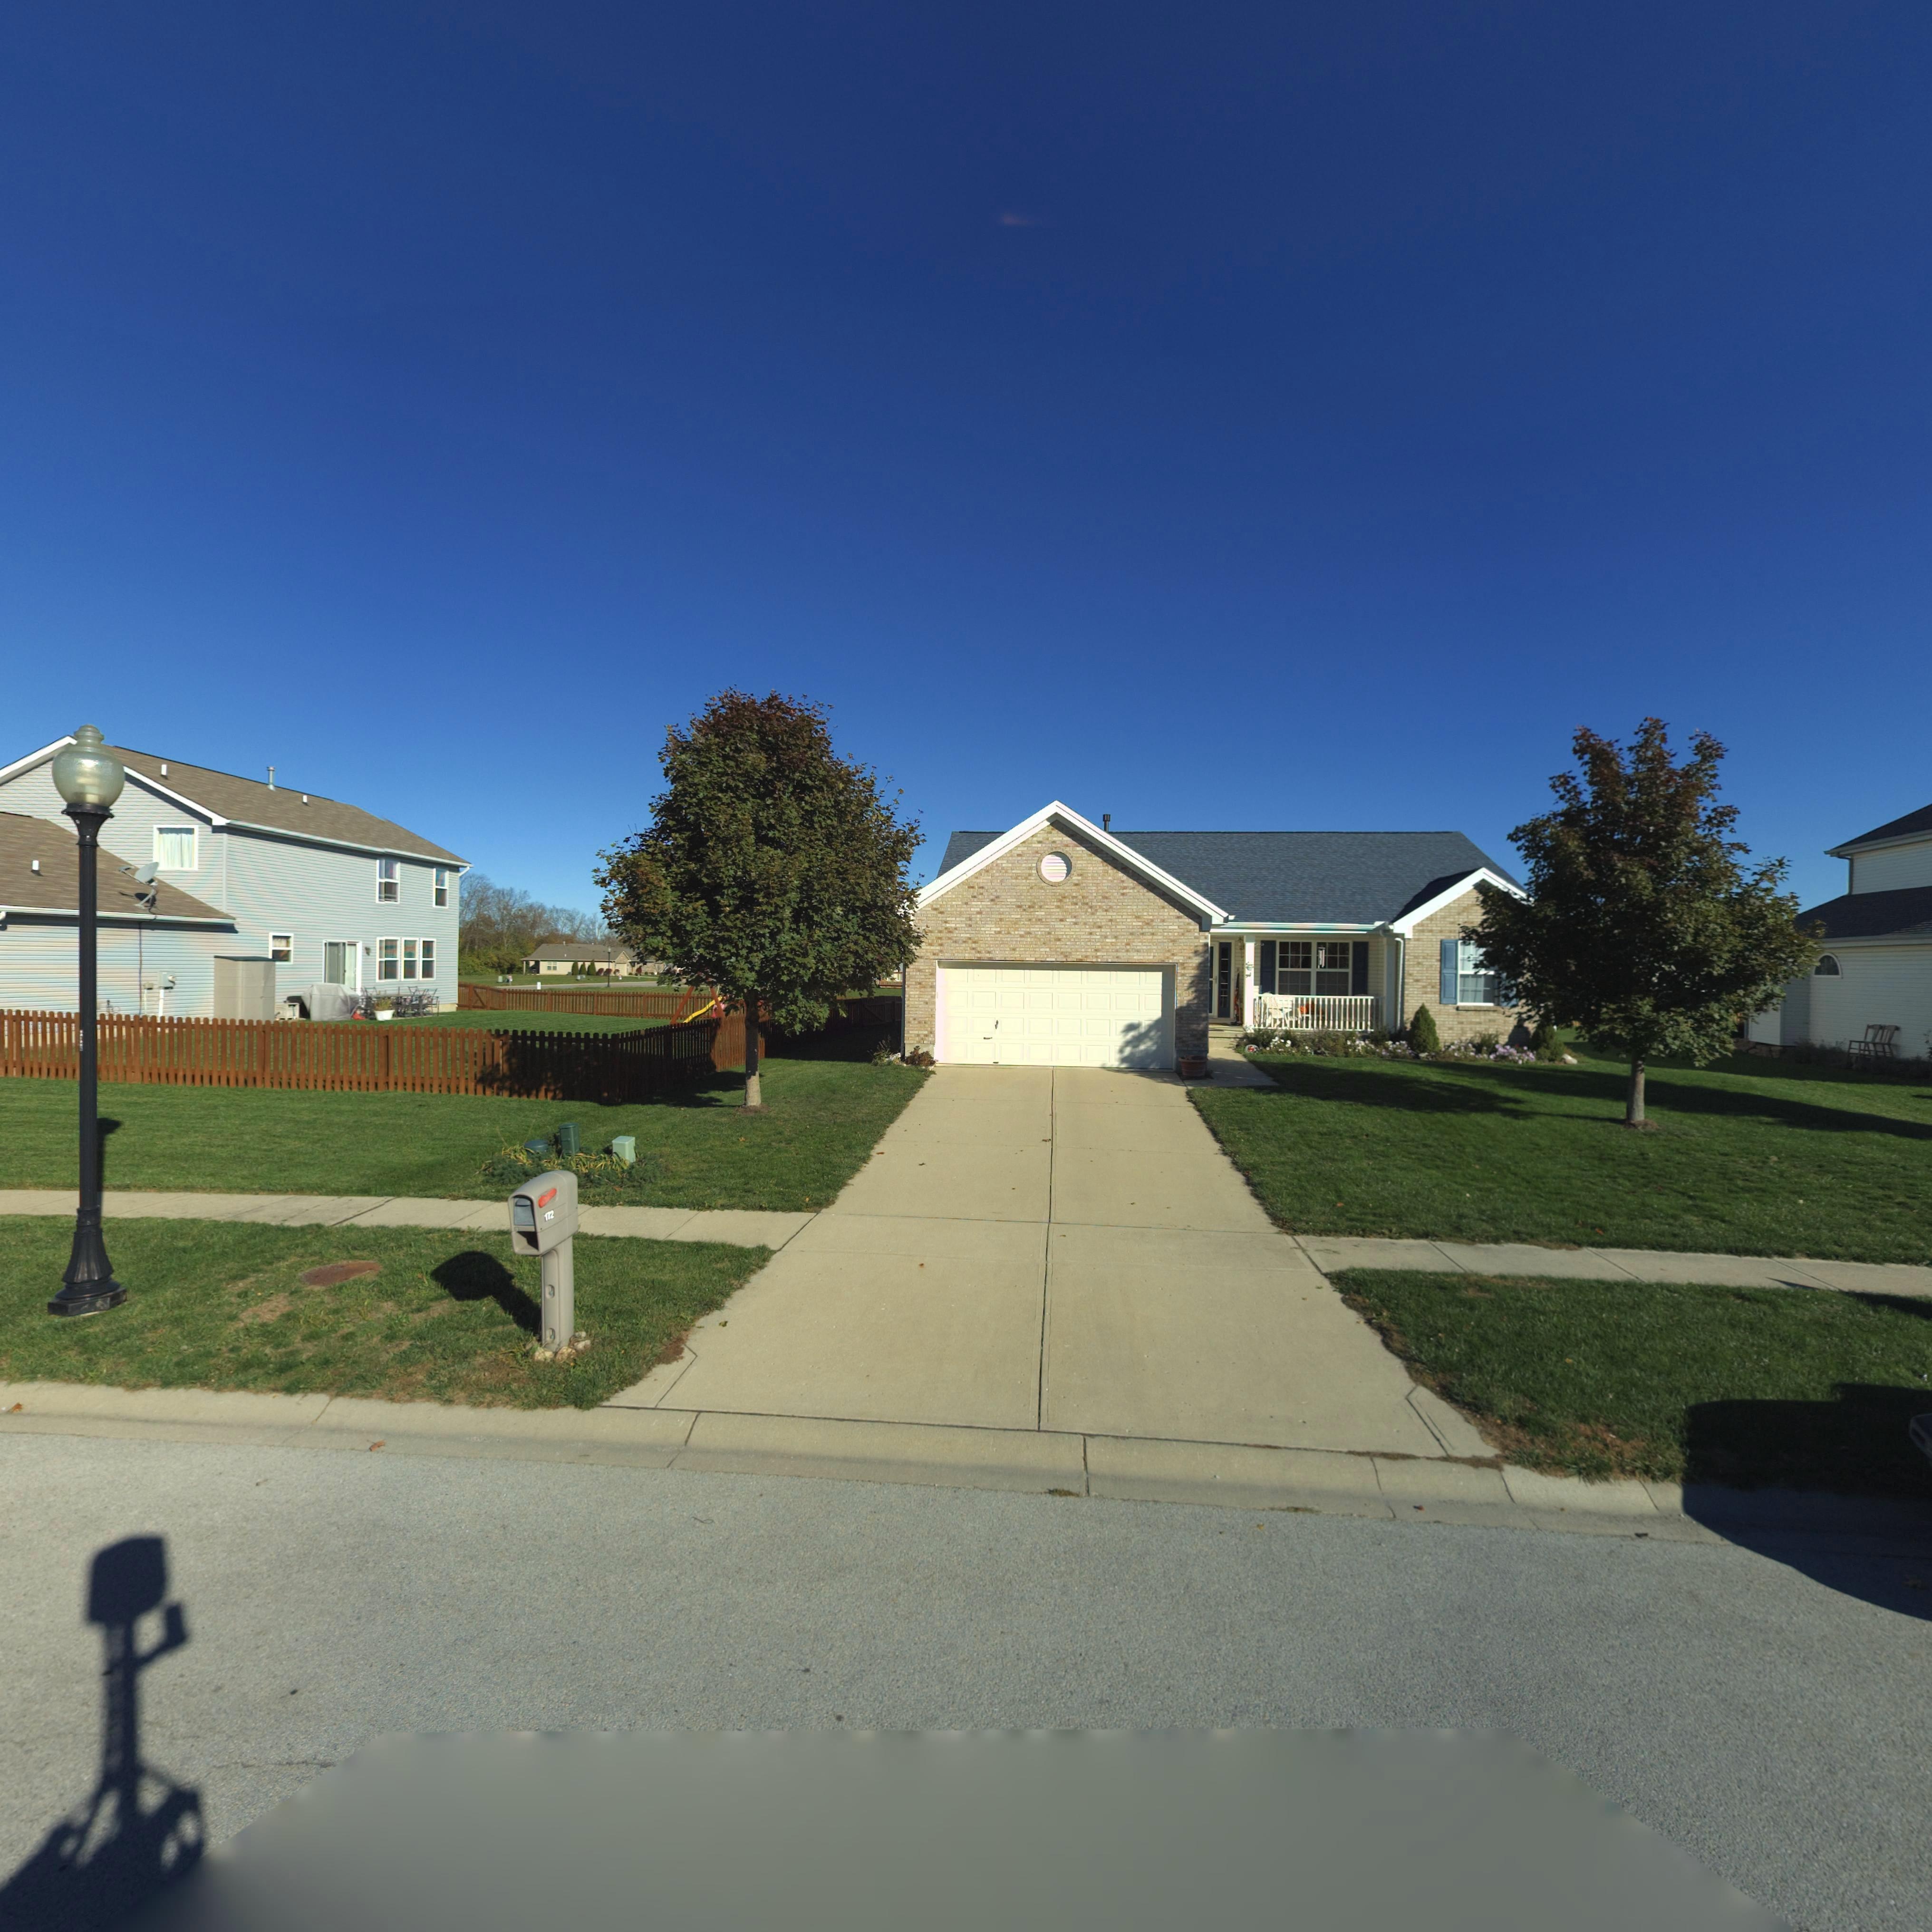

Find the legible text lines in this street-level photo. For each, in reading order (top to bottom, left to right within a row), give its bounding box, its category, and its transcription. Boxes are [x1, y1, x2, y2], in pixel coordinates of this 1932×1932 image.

[543, 1209, 555, 1222] StreetNumber: 172